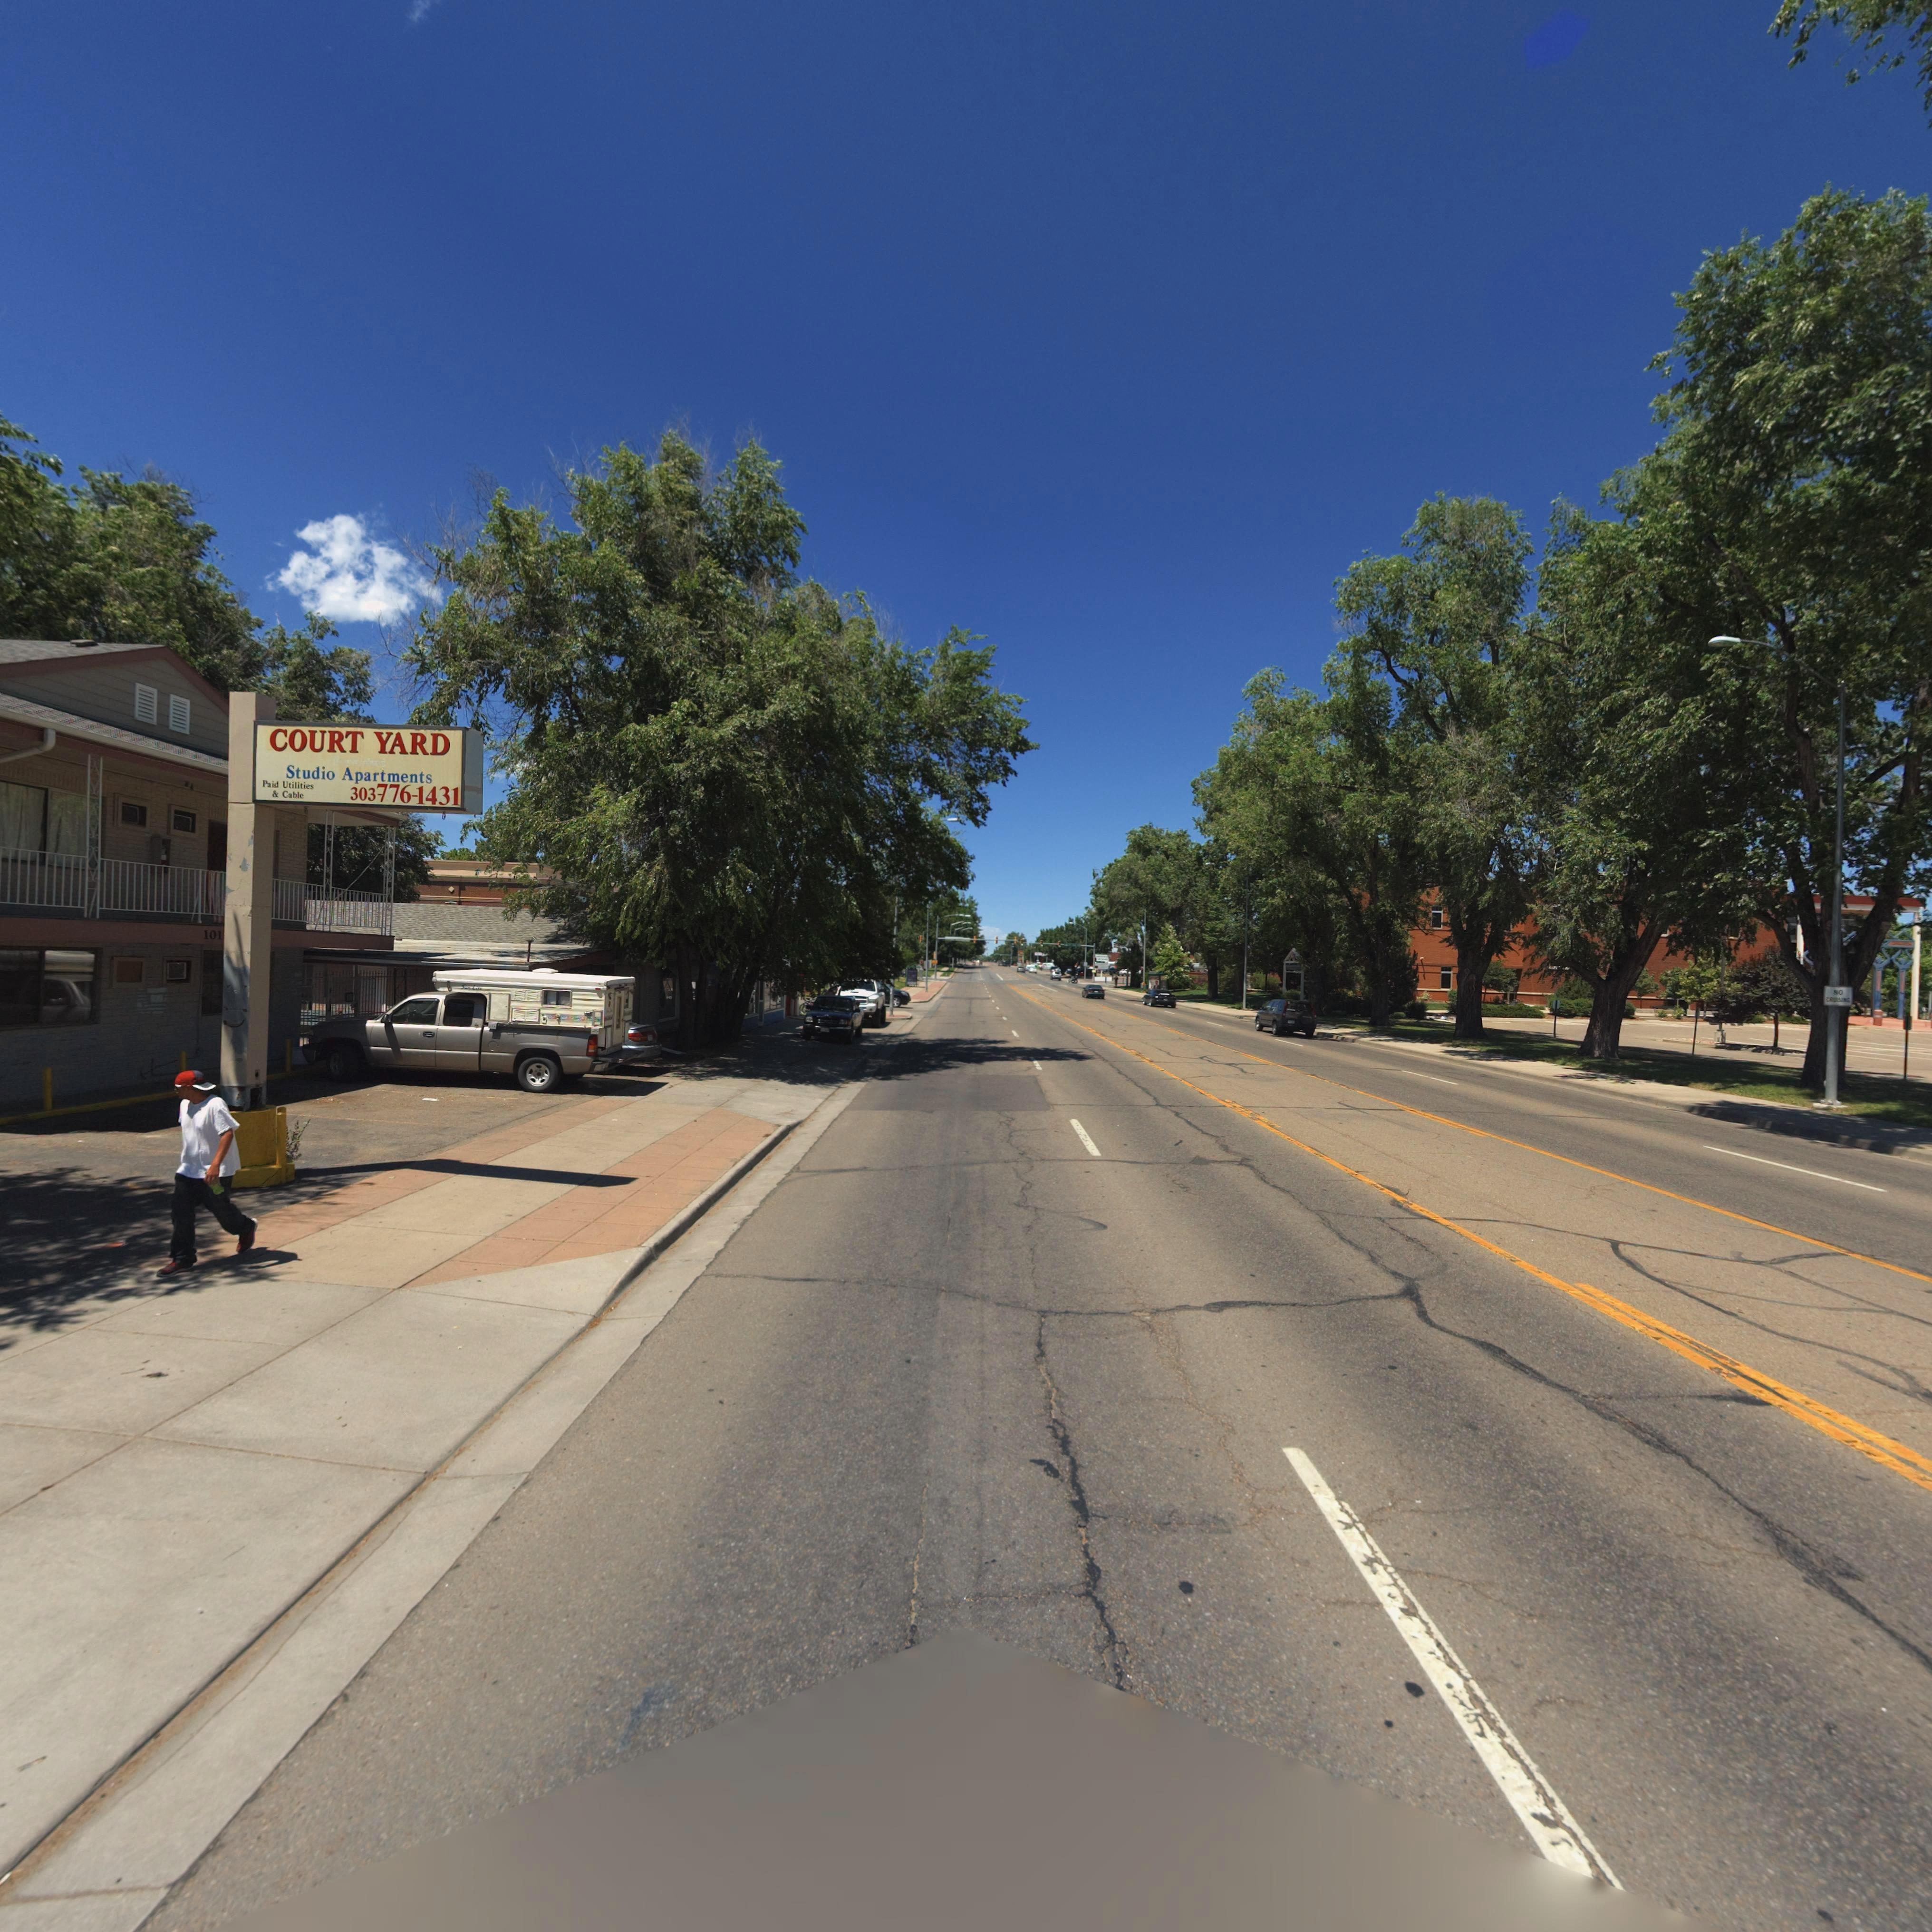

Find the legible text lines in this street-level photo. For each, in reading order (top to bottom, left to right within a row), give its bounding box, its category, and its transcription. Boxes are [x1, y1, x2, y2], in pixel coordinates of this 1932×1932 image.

[269, 727, 451, 755] BusinessName: COURT YARD
[285, 764, 432, 784] BusinessName: Studio Apartments
[203, 929, 222, 940] StreetNumber: 101